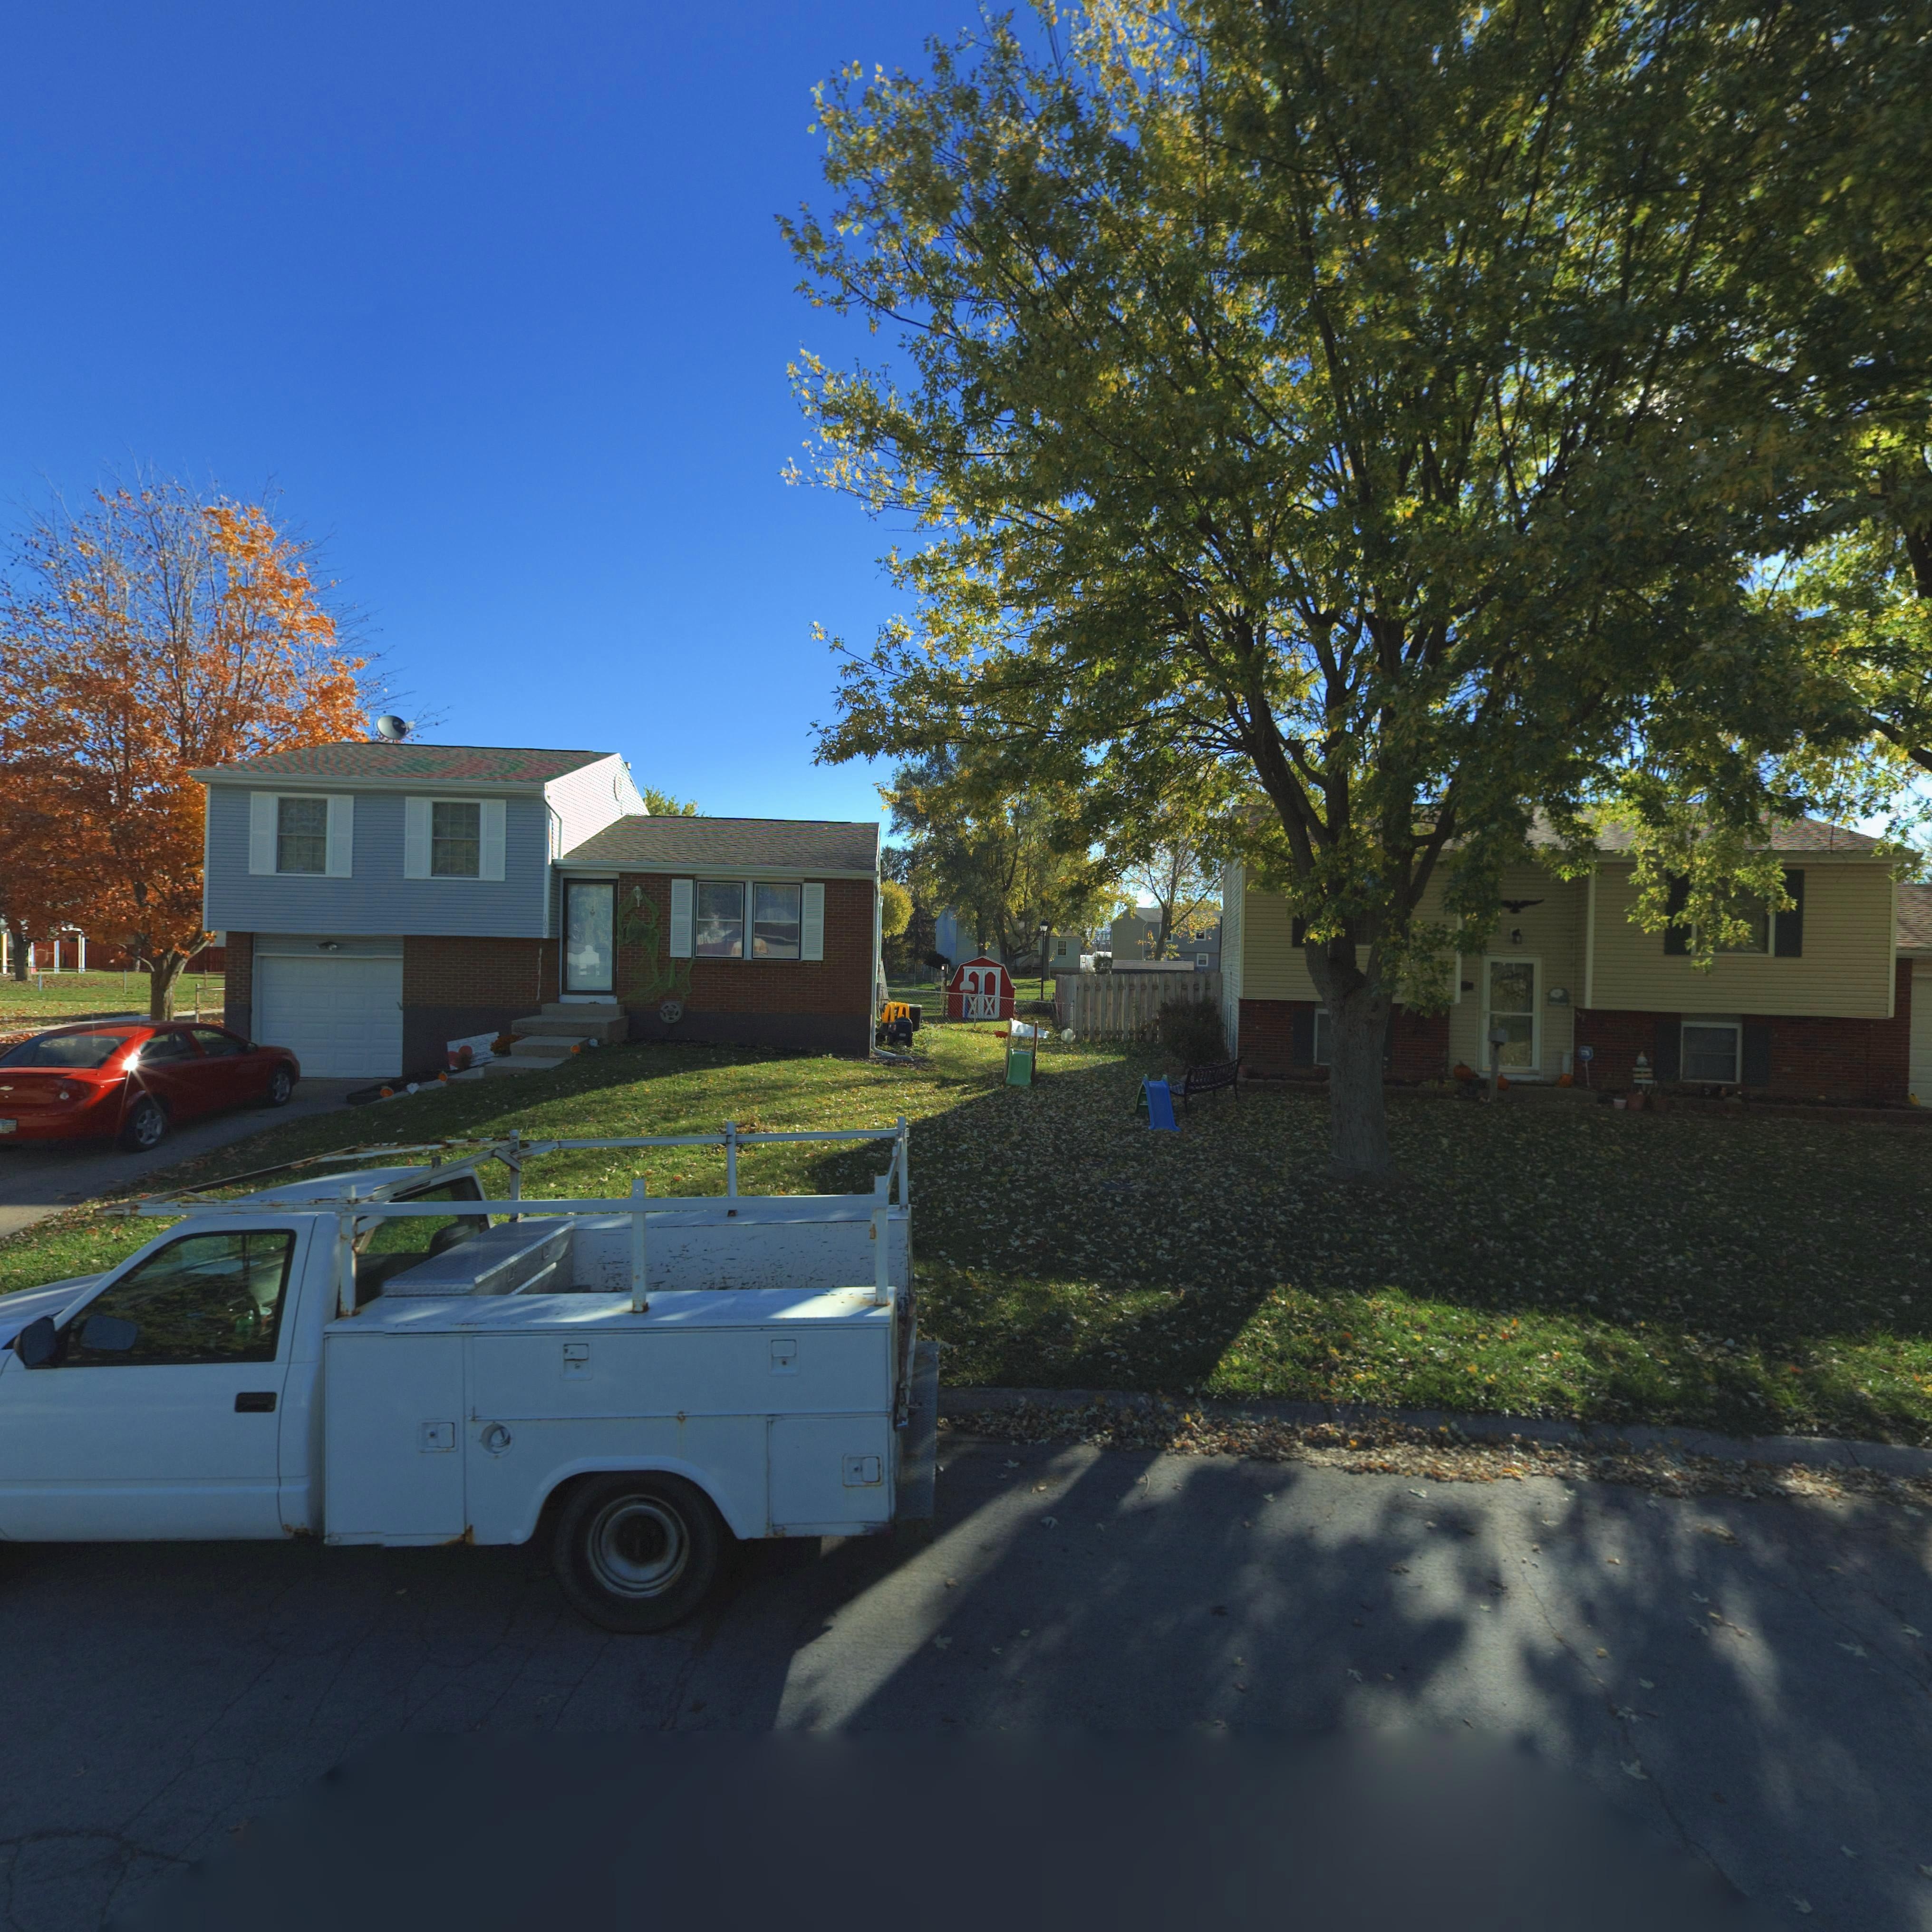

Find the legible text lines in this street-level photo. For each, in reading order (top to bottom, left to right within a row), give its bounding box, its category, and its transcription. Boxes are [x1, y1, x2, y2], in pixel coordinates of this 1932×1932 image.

[542, 913, 548, 935] StreetNumber: 103